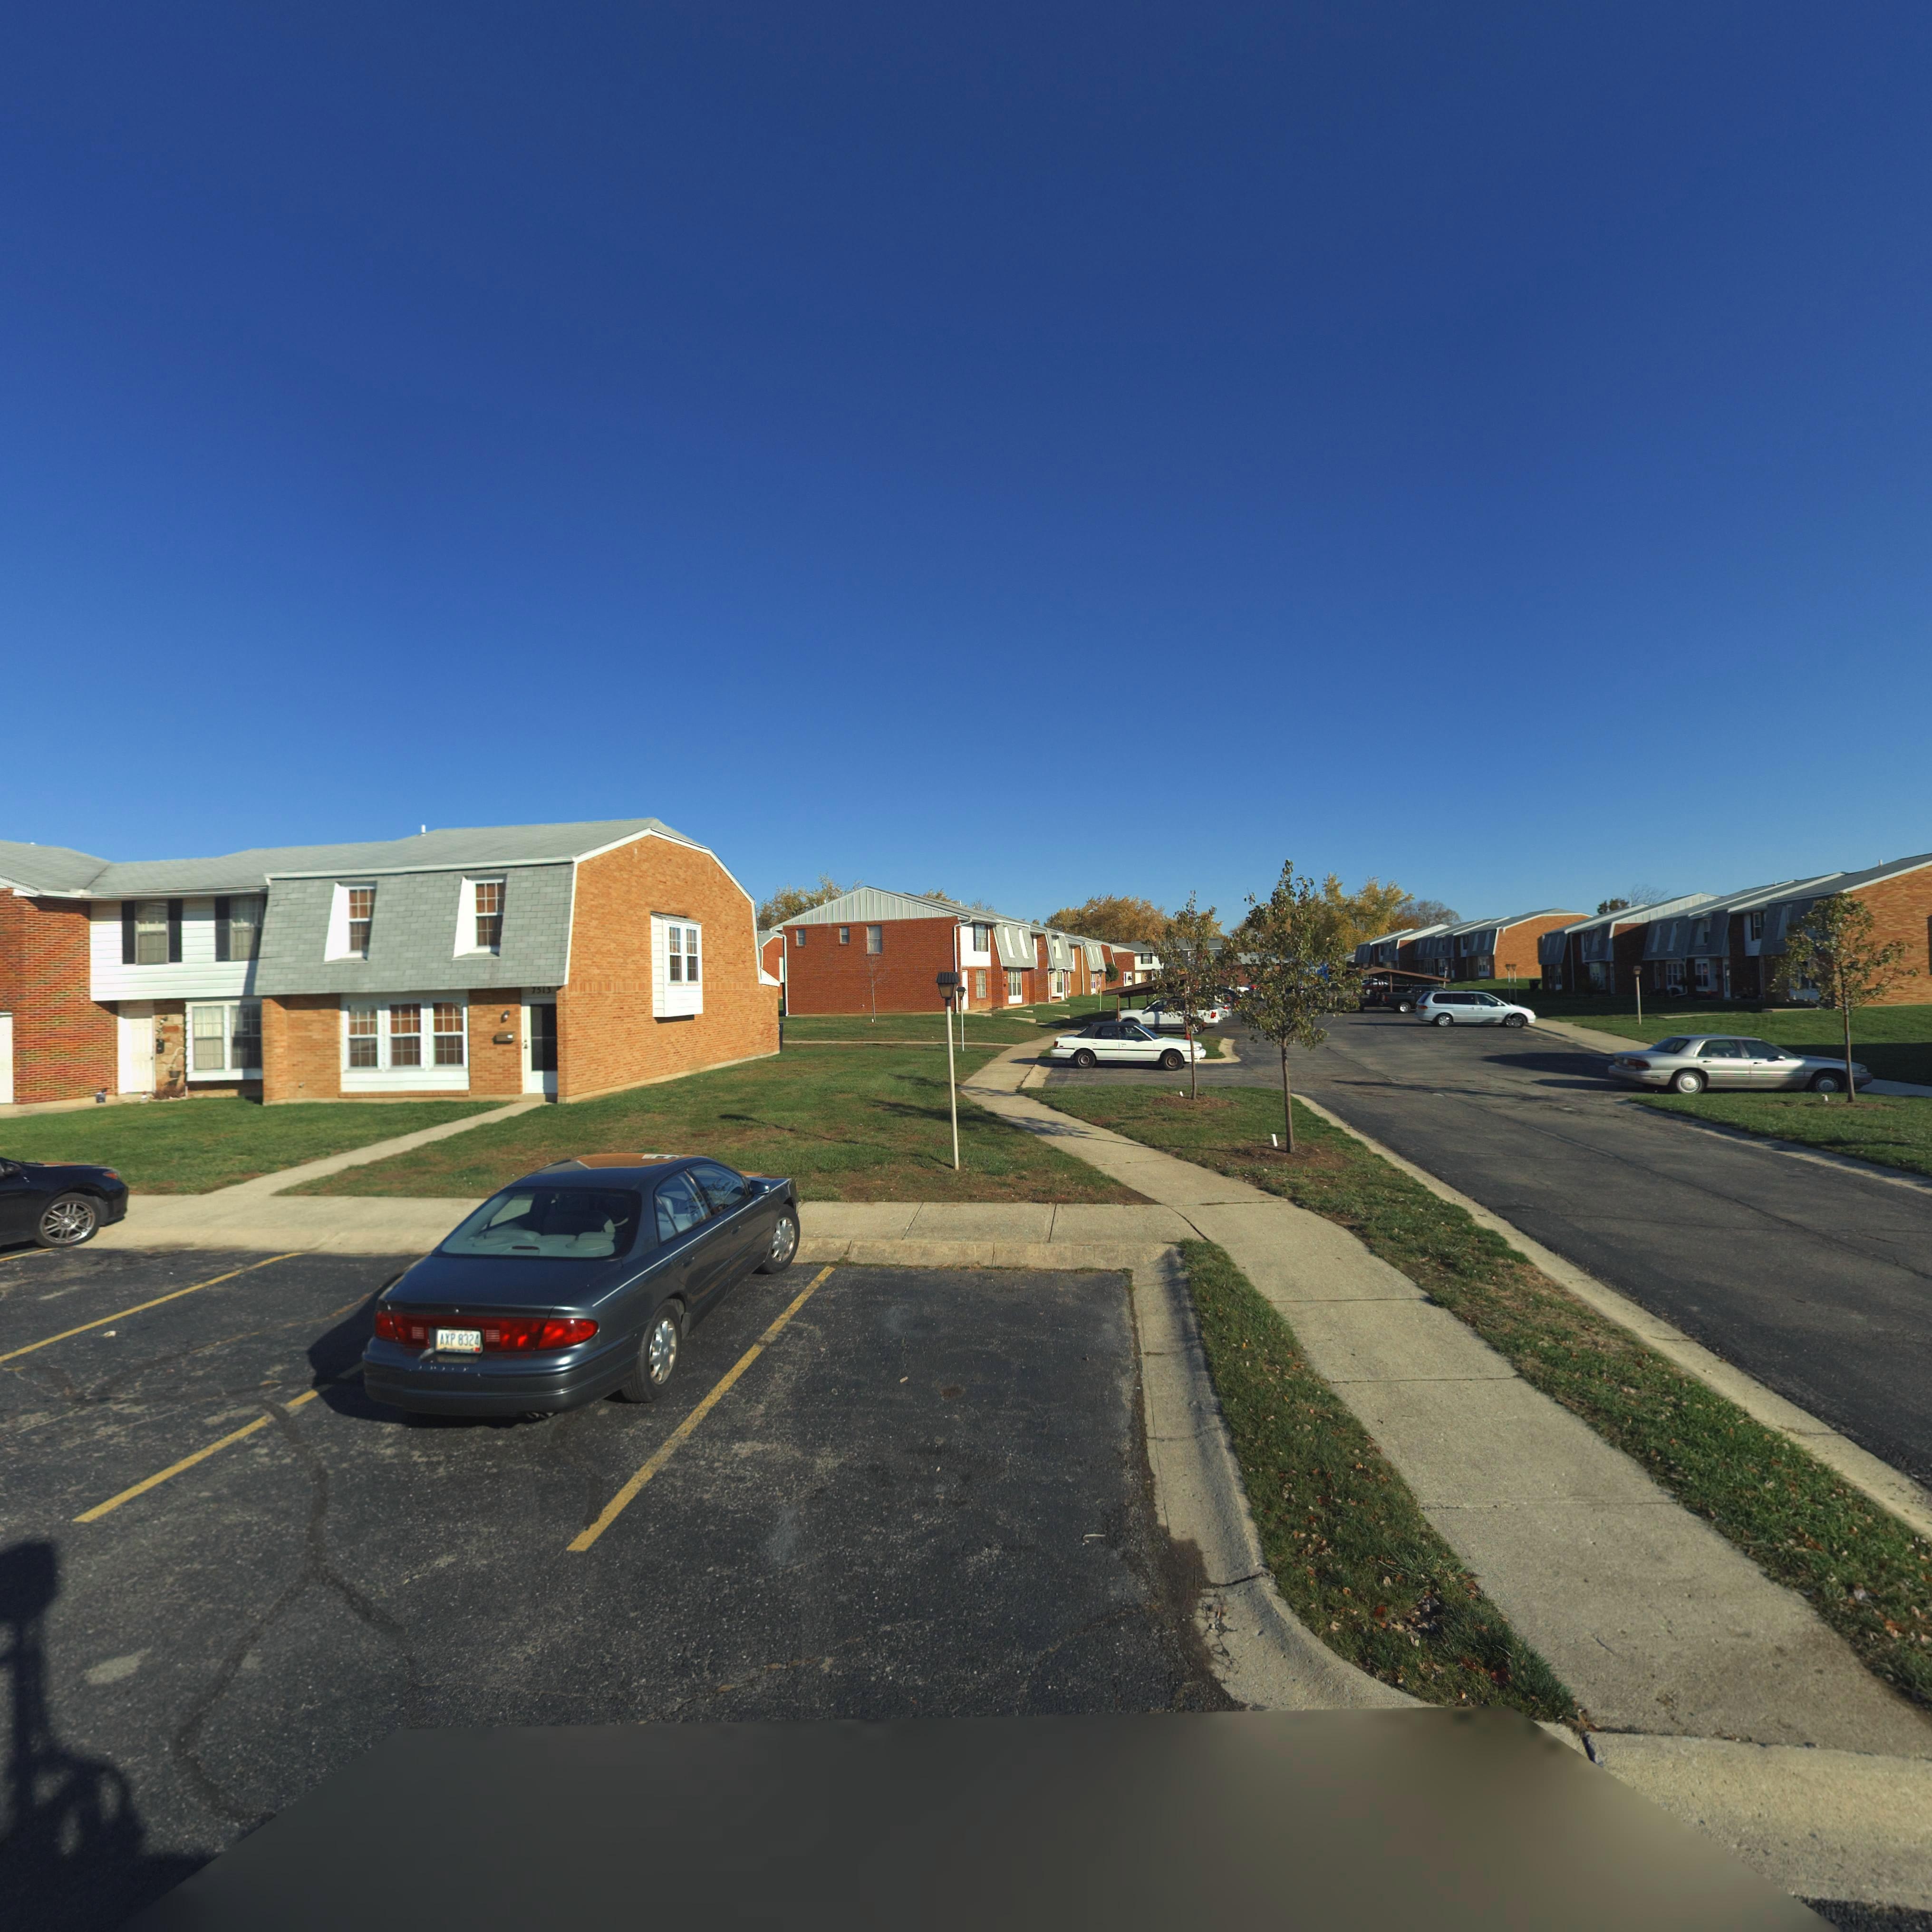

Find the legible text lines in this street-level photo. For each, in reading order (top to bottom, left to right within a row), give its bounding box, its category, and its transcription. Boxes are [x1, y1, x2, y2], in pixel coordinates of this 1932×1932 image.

[531, 986, 551, 994] StreetNumber: 7513